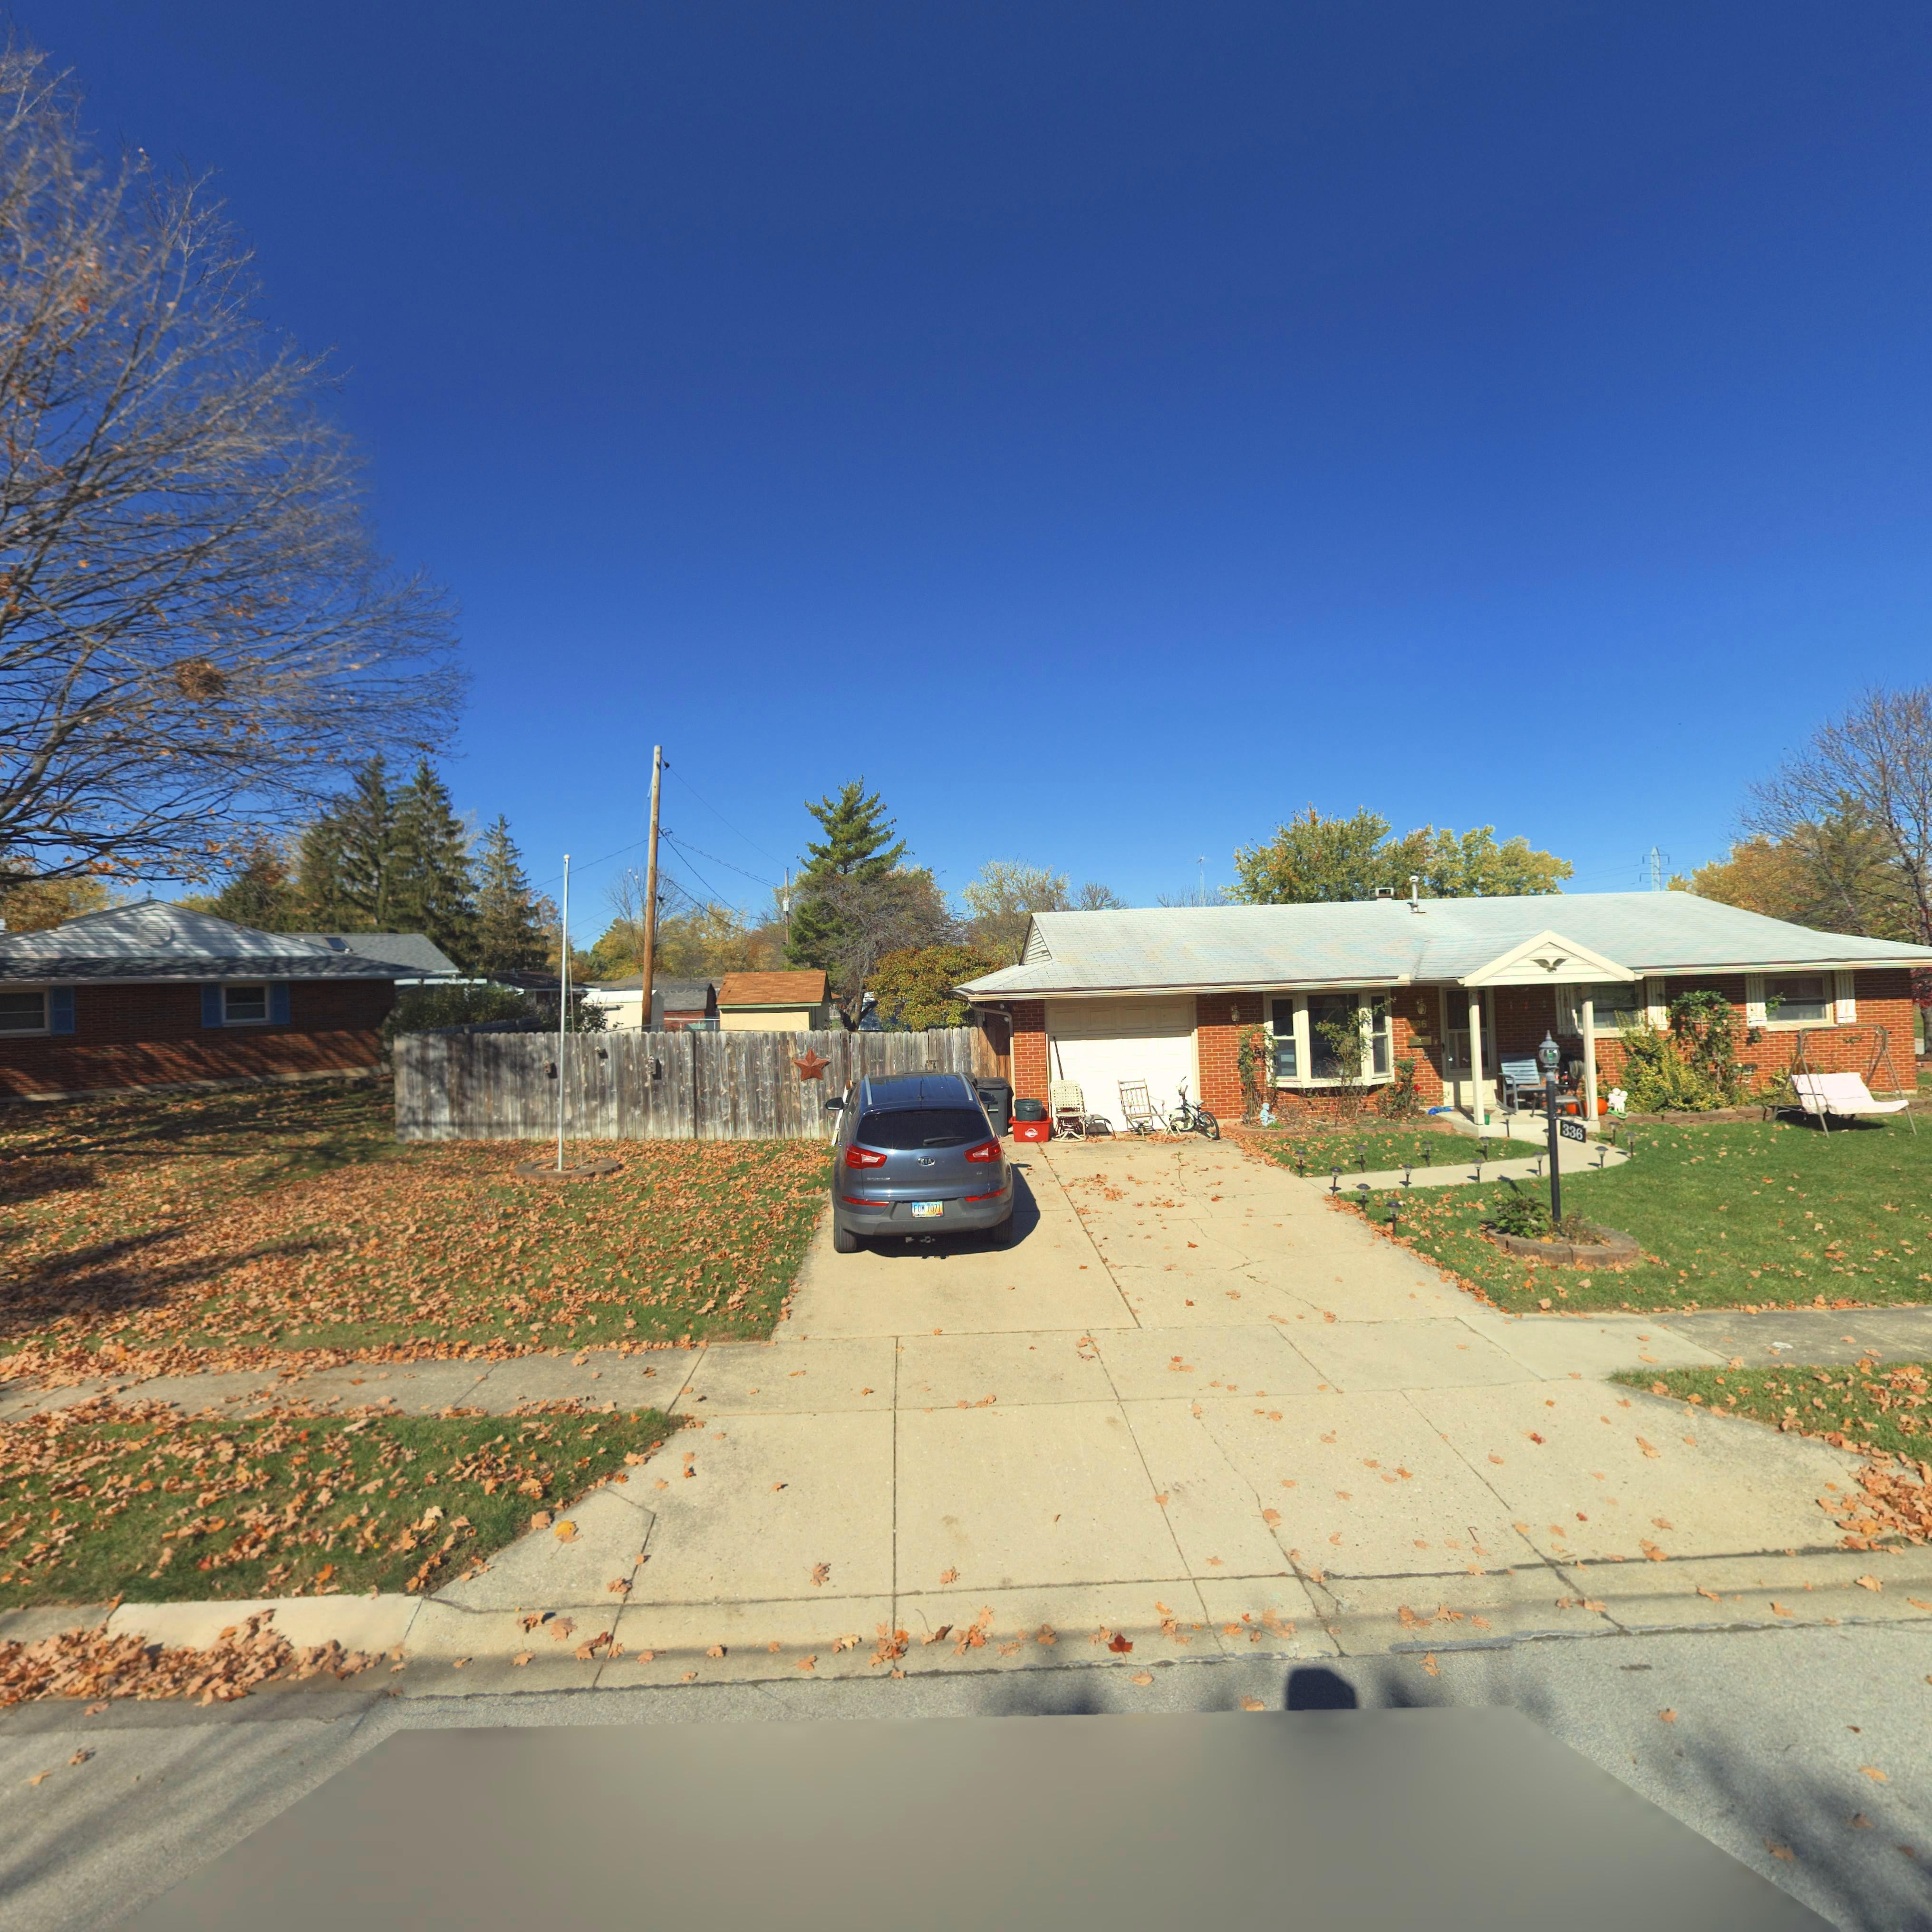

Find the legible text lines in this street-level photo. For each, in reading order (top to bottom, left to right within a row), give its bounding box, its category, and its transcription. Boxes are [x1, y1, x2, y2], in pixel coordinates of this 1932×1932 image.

[1408, 1019, 1429, 1030] StreetNumber: 336
[1561, 1122, 1584, 1142] StreetNumber: 336